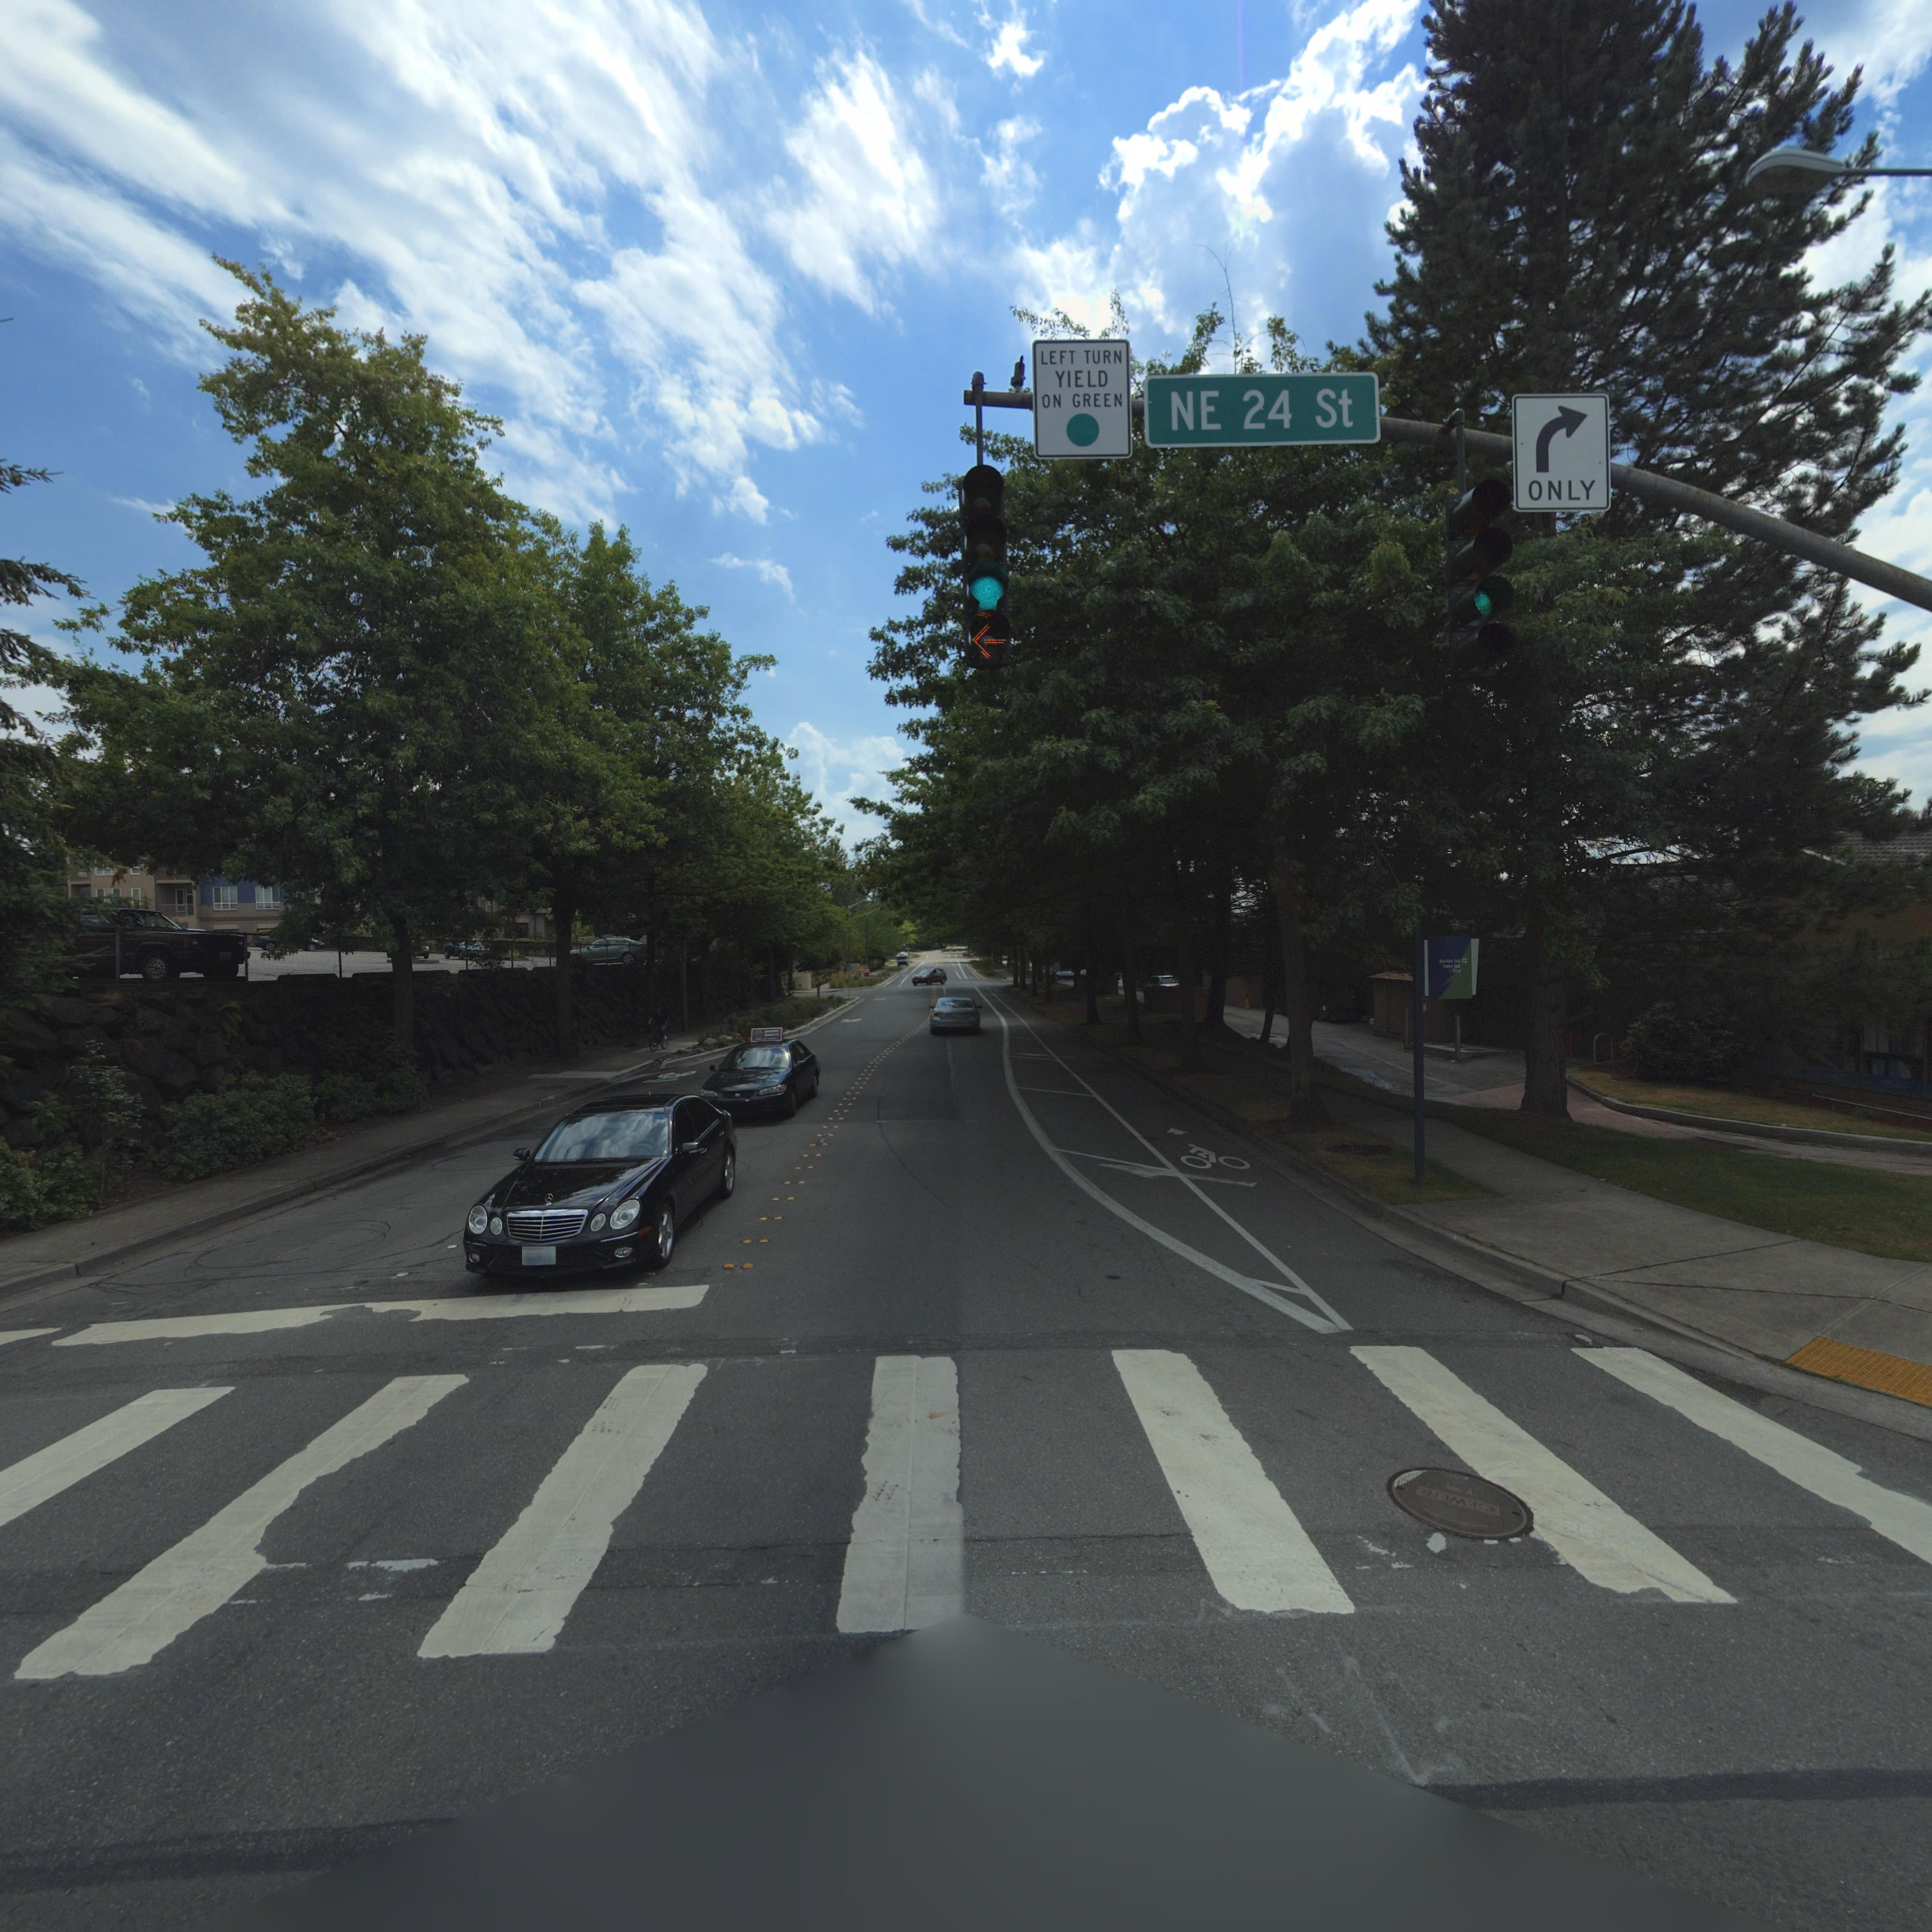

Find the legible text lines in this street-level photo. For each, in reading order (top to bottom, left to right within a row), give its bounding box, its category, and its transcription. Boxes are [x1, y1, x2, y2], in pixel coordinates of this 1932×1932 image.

[1167, 383, 1362, 435] StreetName: NE 24 St